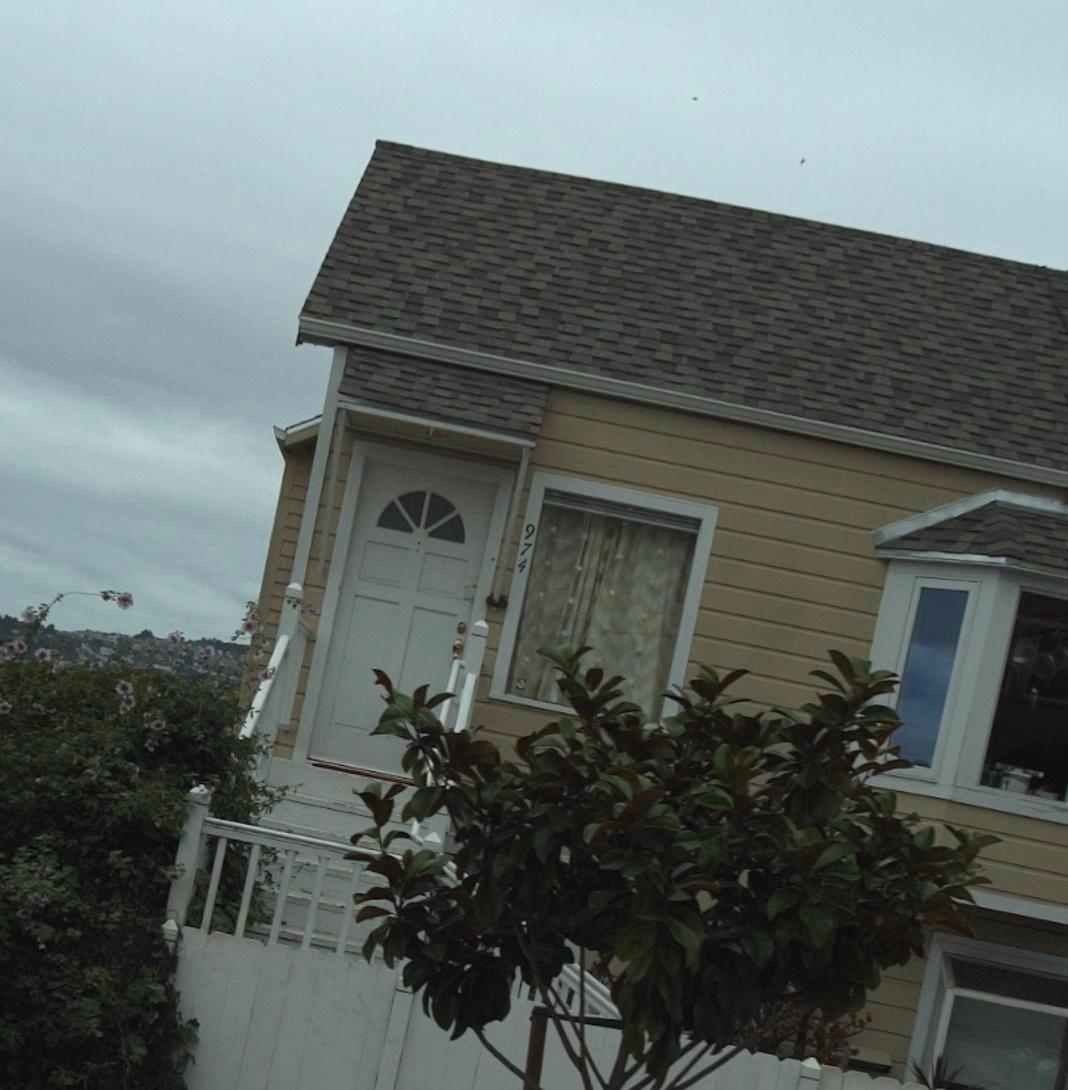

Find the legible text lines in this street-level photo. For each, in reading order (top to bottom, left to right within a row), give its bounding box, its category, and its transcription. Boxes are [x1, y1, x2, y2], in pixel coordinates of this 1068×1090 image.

[515, 522, 537, 576] StreetNumber: 974